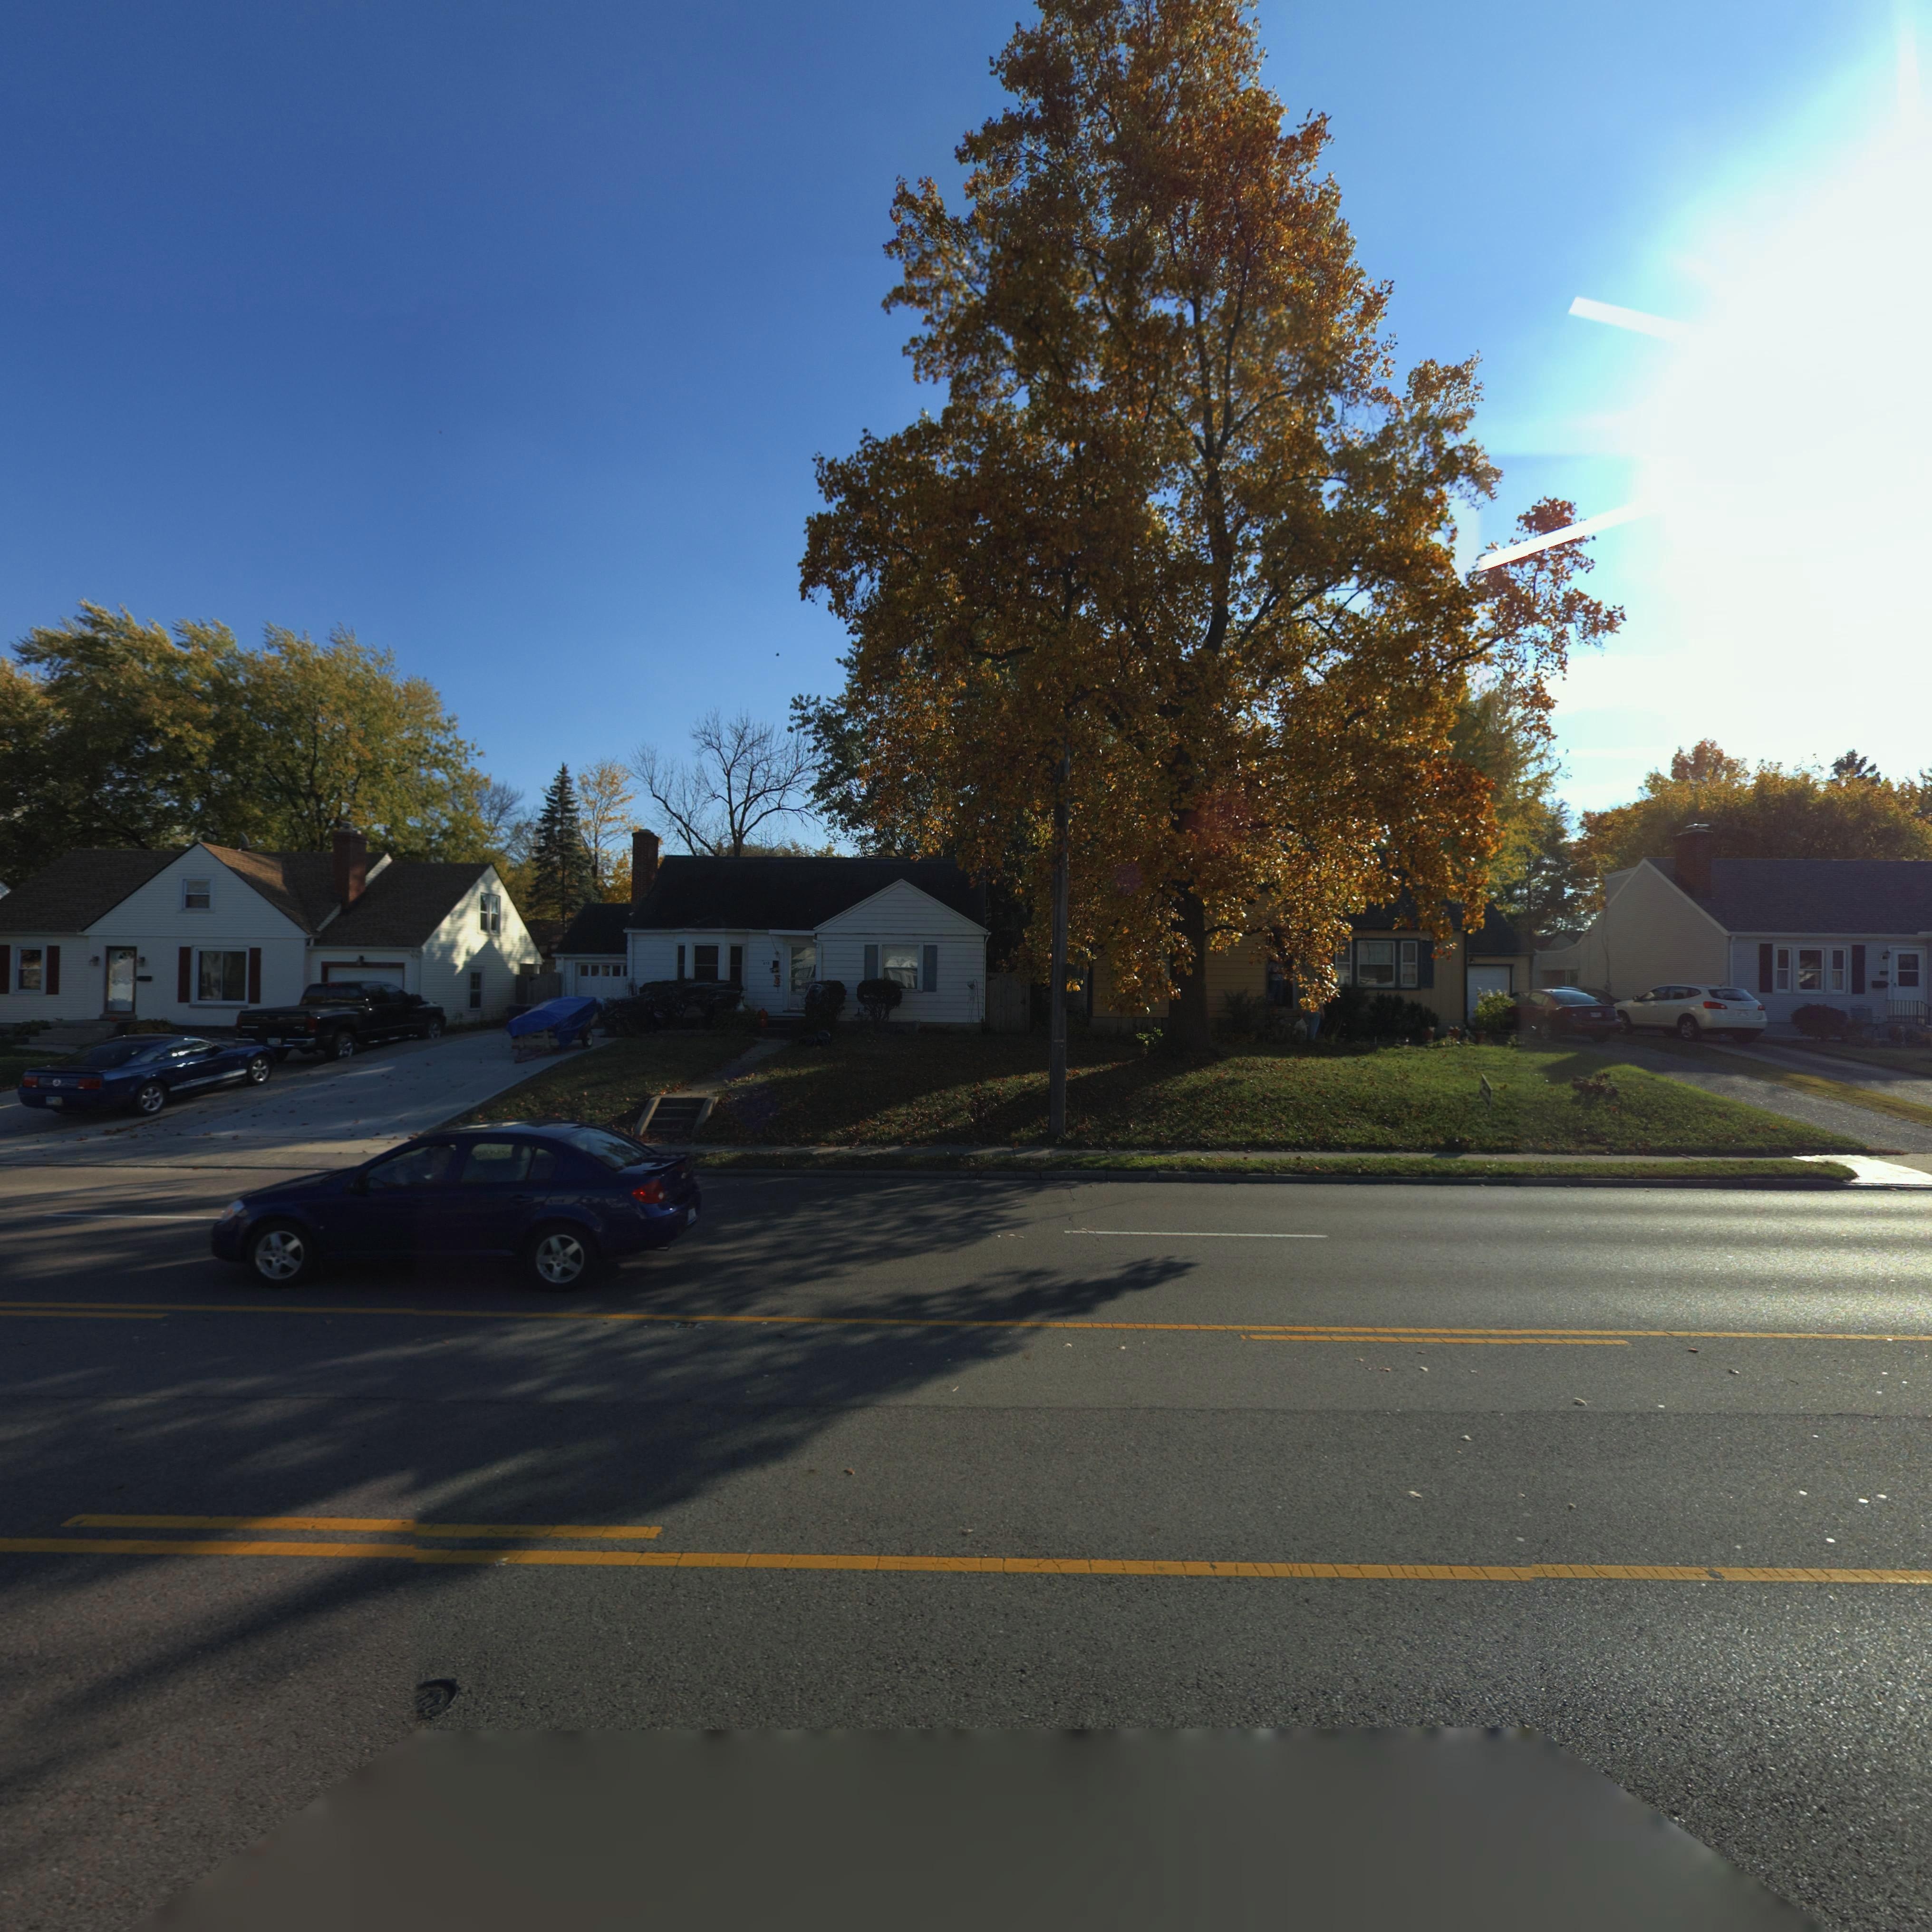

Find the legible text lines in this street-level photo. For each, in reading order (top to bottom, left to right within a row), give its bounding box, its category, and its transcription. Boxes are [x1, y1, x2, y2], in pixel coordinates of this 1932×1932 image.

[763, 961, 770, 965] StreetNumber: 412